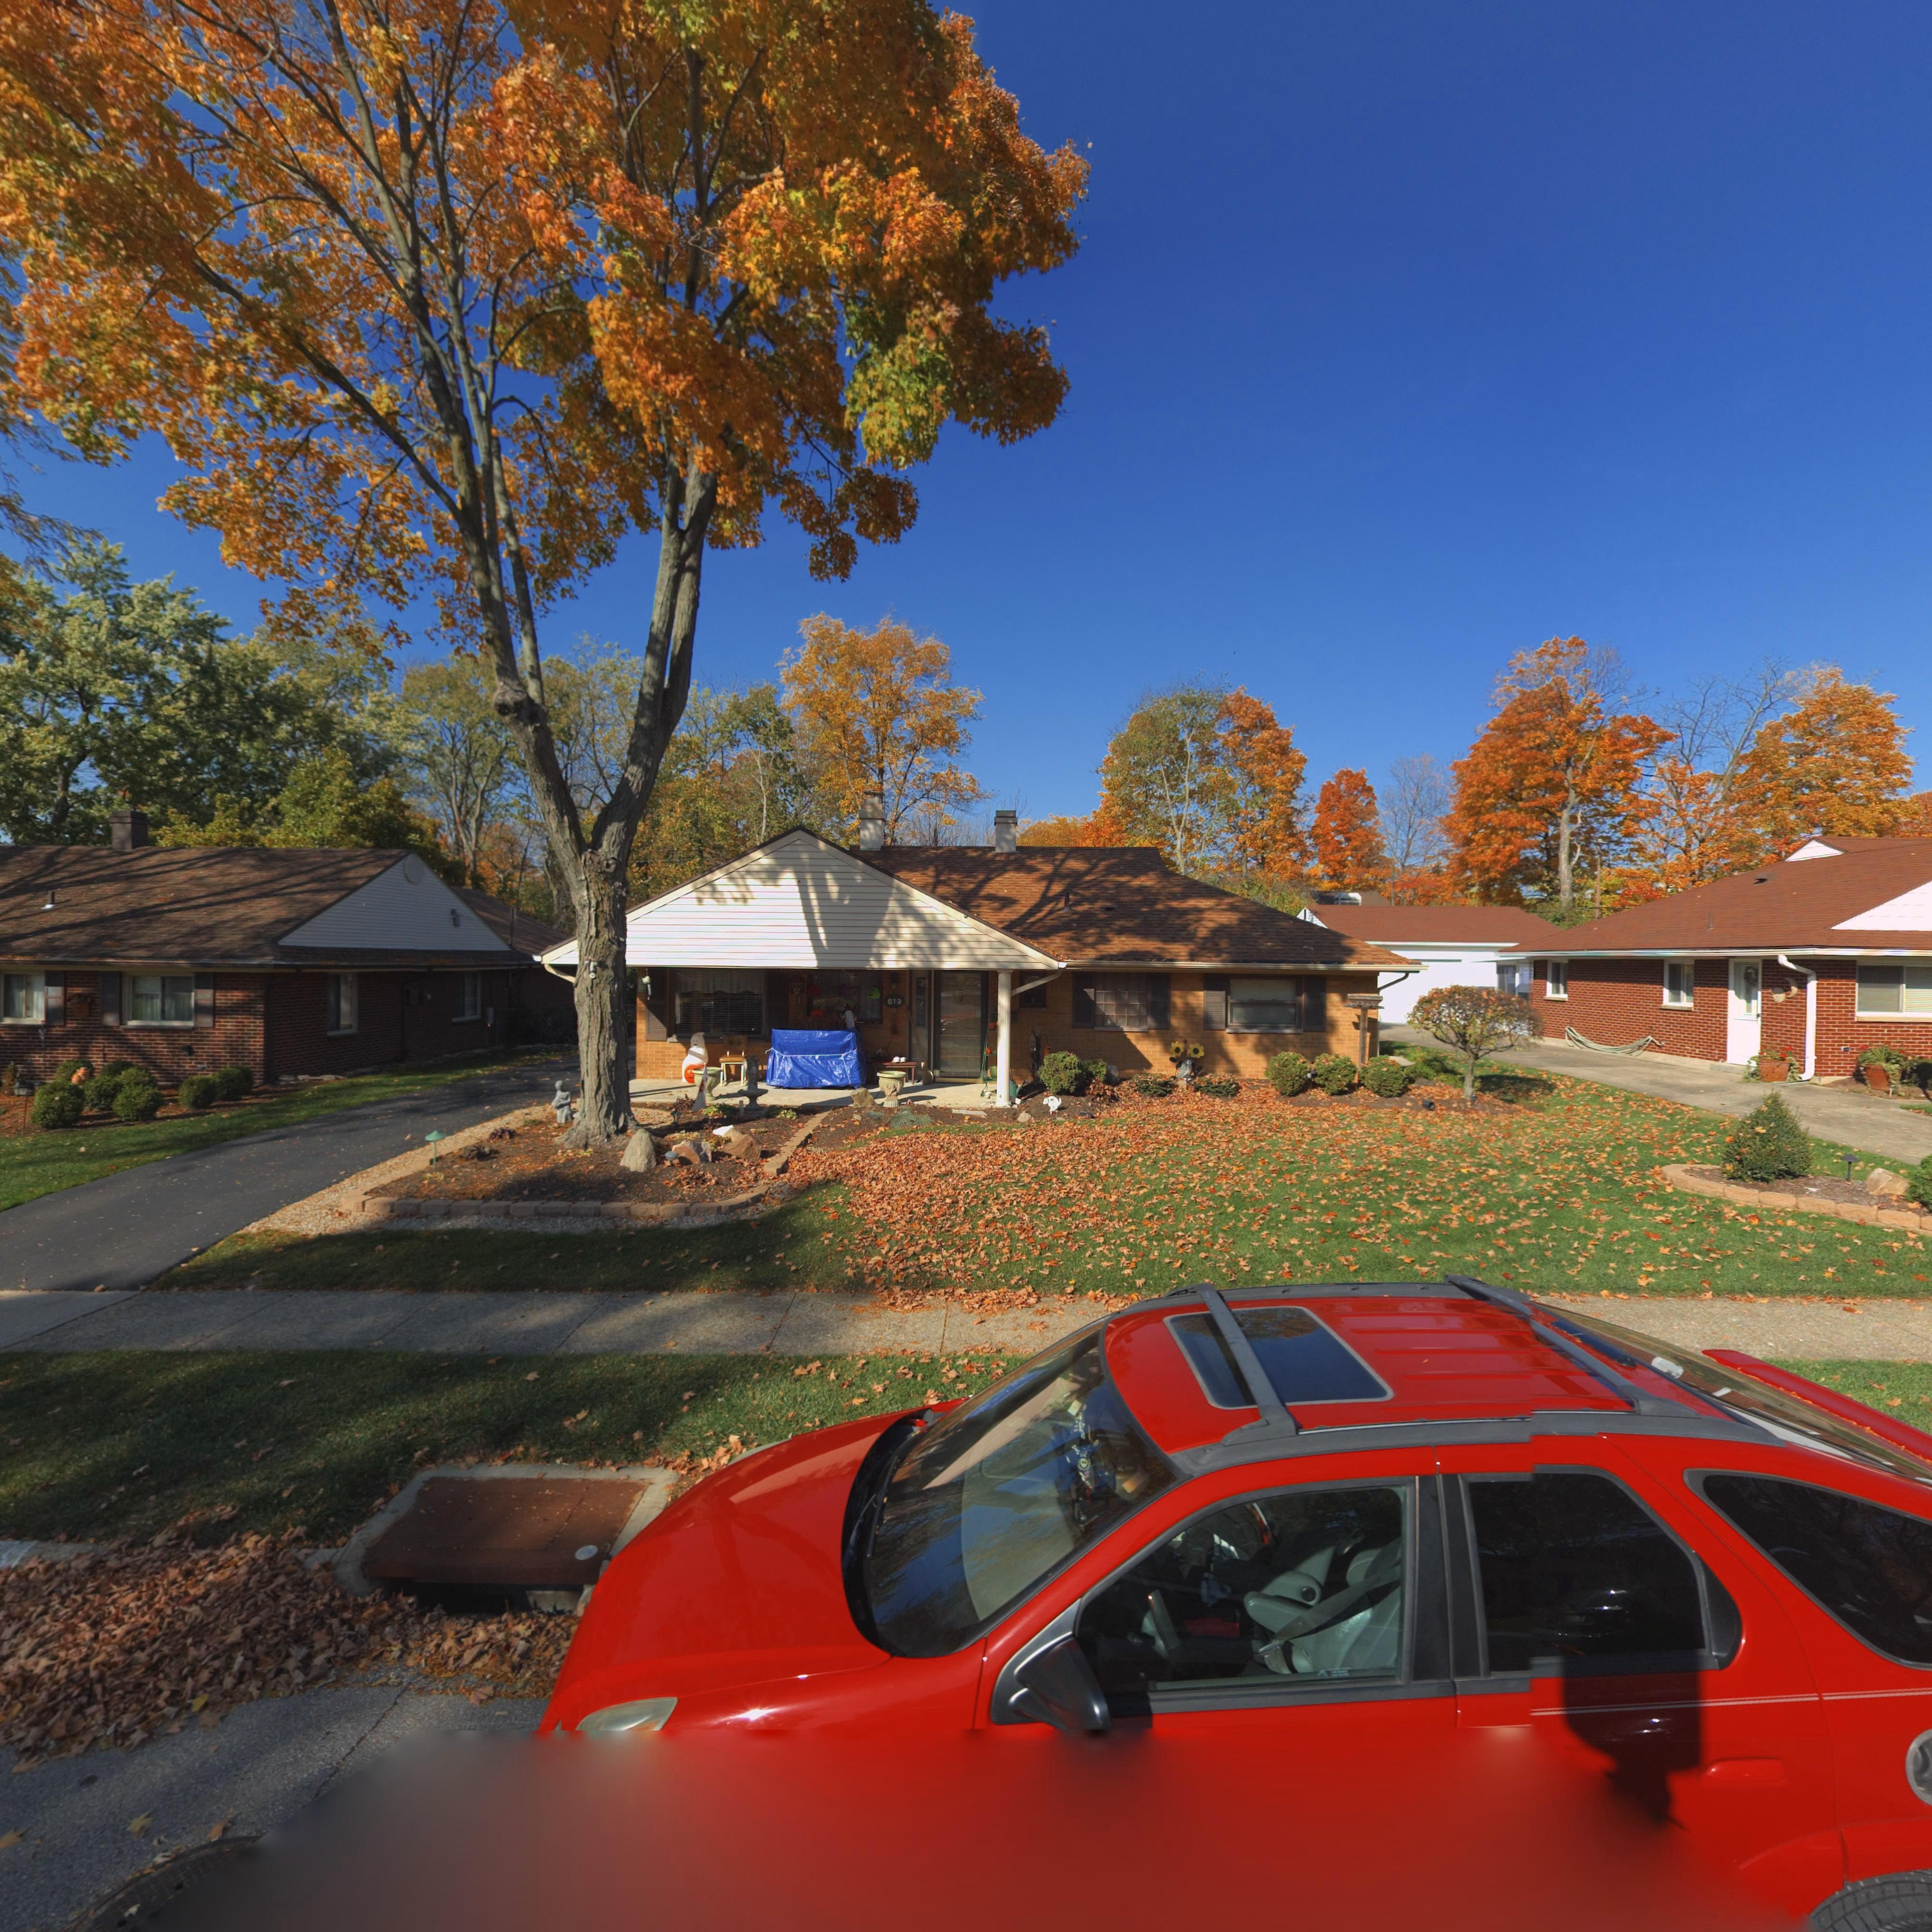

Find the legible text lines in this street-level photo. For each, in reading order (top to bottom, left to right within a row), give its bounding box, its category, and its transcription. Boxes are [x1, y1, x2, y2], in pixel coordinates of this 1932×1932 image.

[887, 998, 901, 1005] StreetNumber: 619